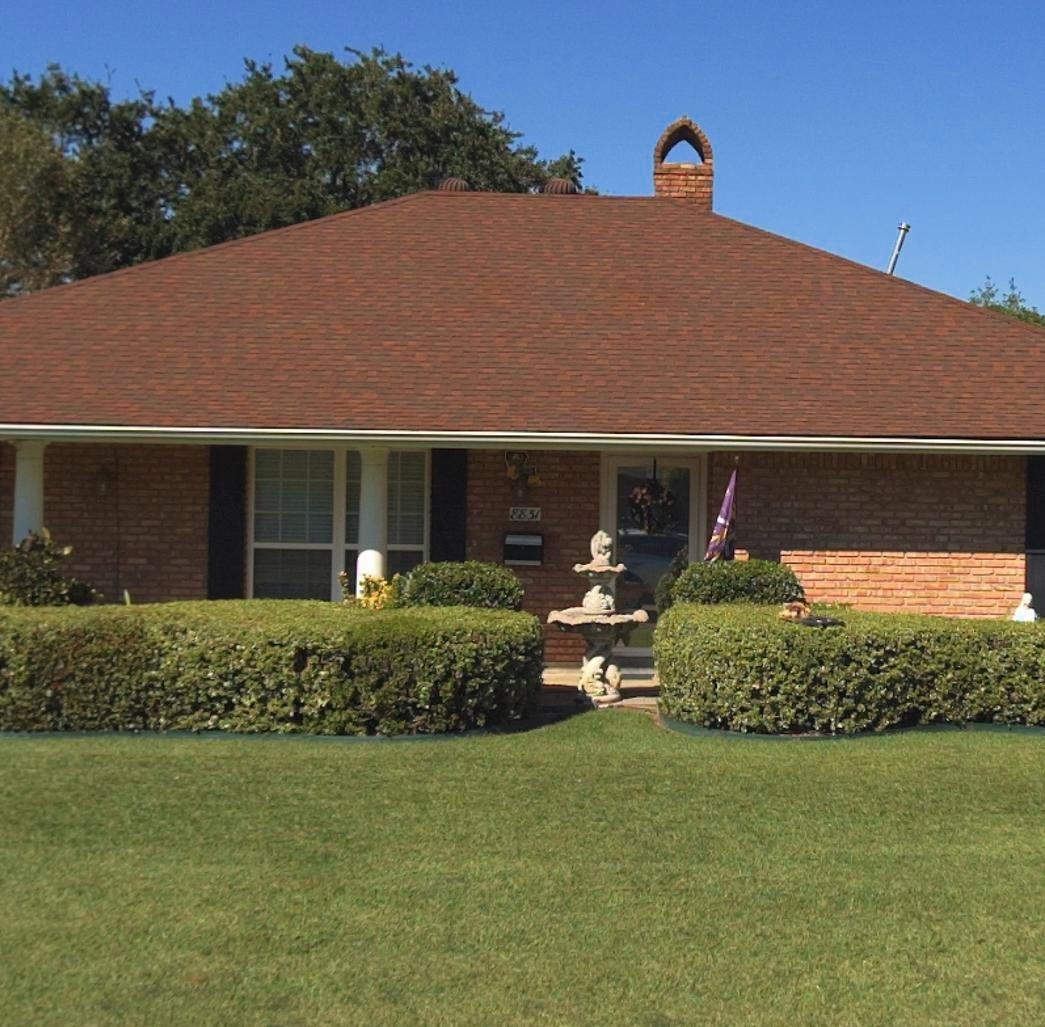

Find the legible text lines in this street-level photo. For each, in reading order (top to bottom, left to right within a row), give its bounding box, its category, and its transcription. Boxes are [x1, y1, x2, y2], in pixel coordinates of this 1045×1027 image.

[509, 507, 541, 521] StreetNumber: 8851